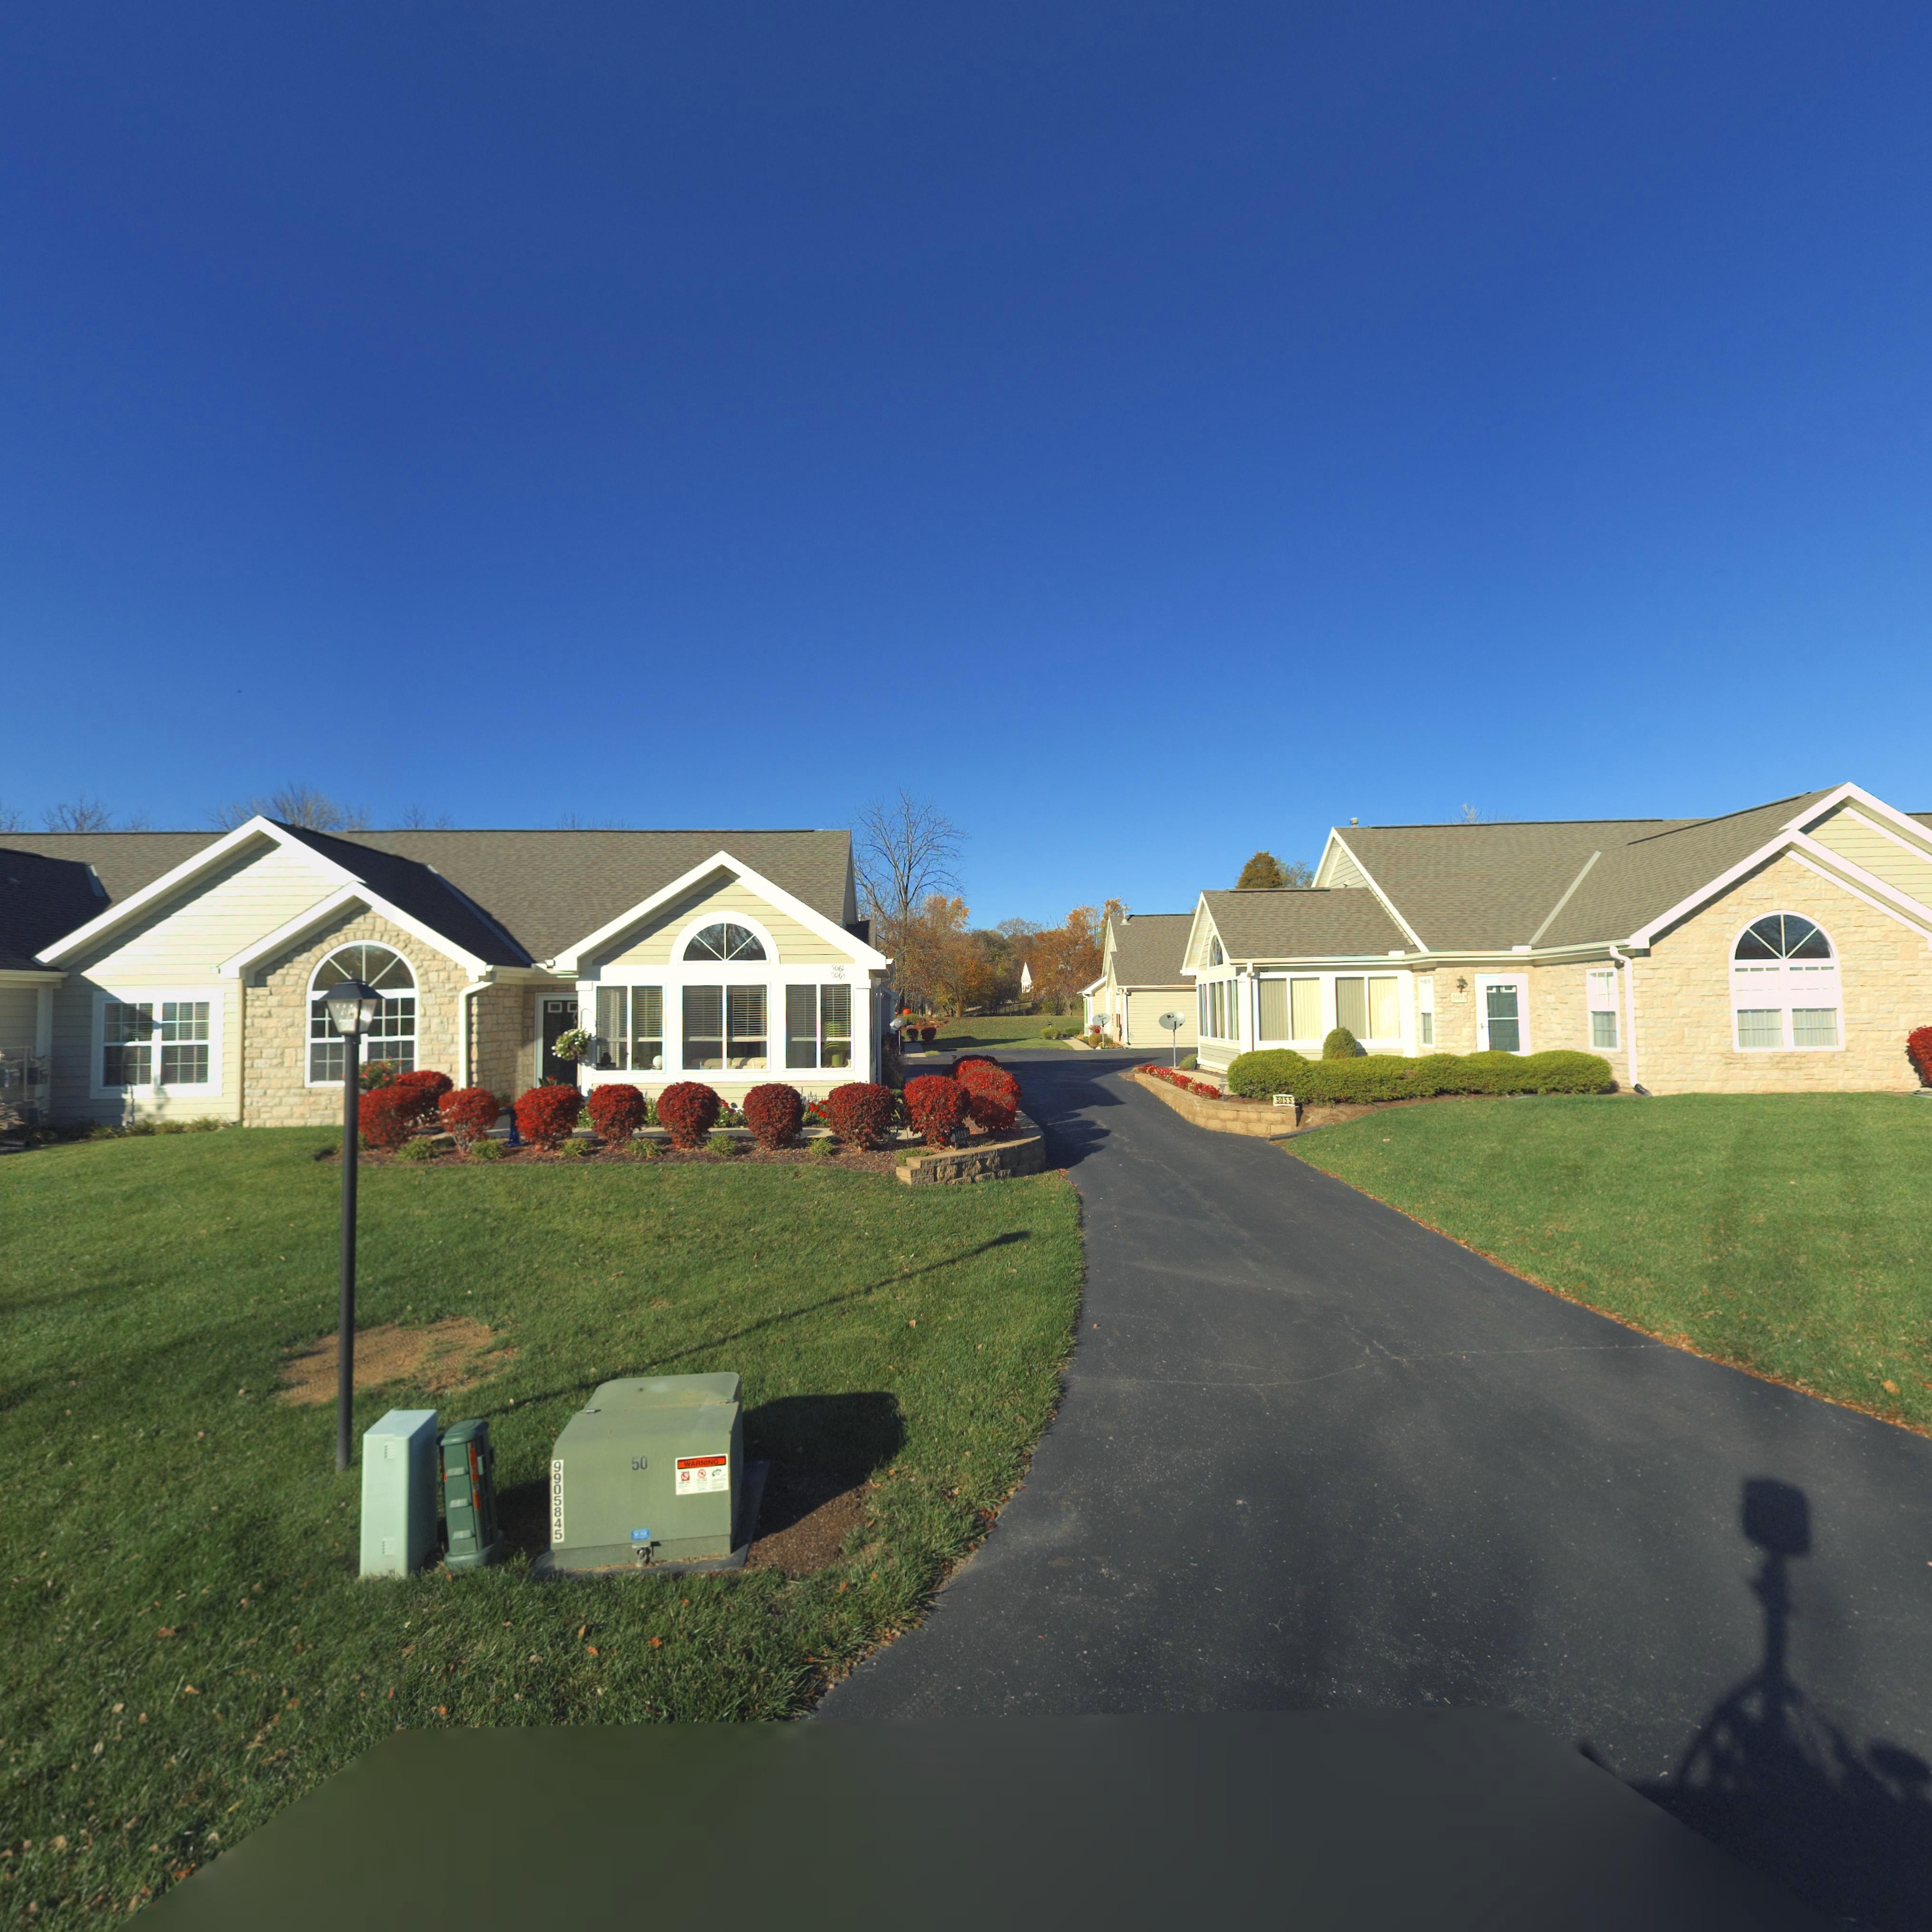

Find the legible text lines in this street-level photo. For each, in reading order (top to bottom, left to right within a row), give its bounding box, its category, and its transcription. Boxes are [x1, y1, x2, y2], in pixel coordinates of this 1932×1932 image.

[1276, 1096, 1293, 1105] StreetNumber: 5055
[955, 1129, 968, 1140] StreetNumber: 5061